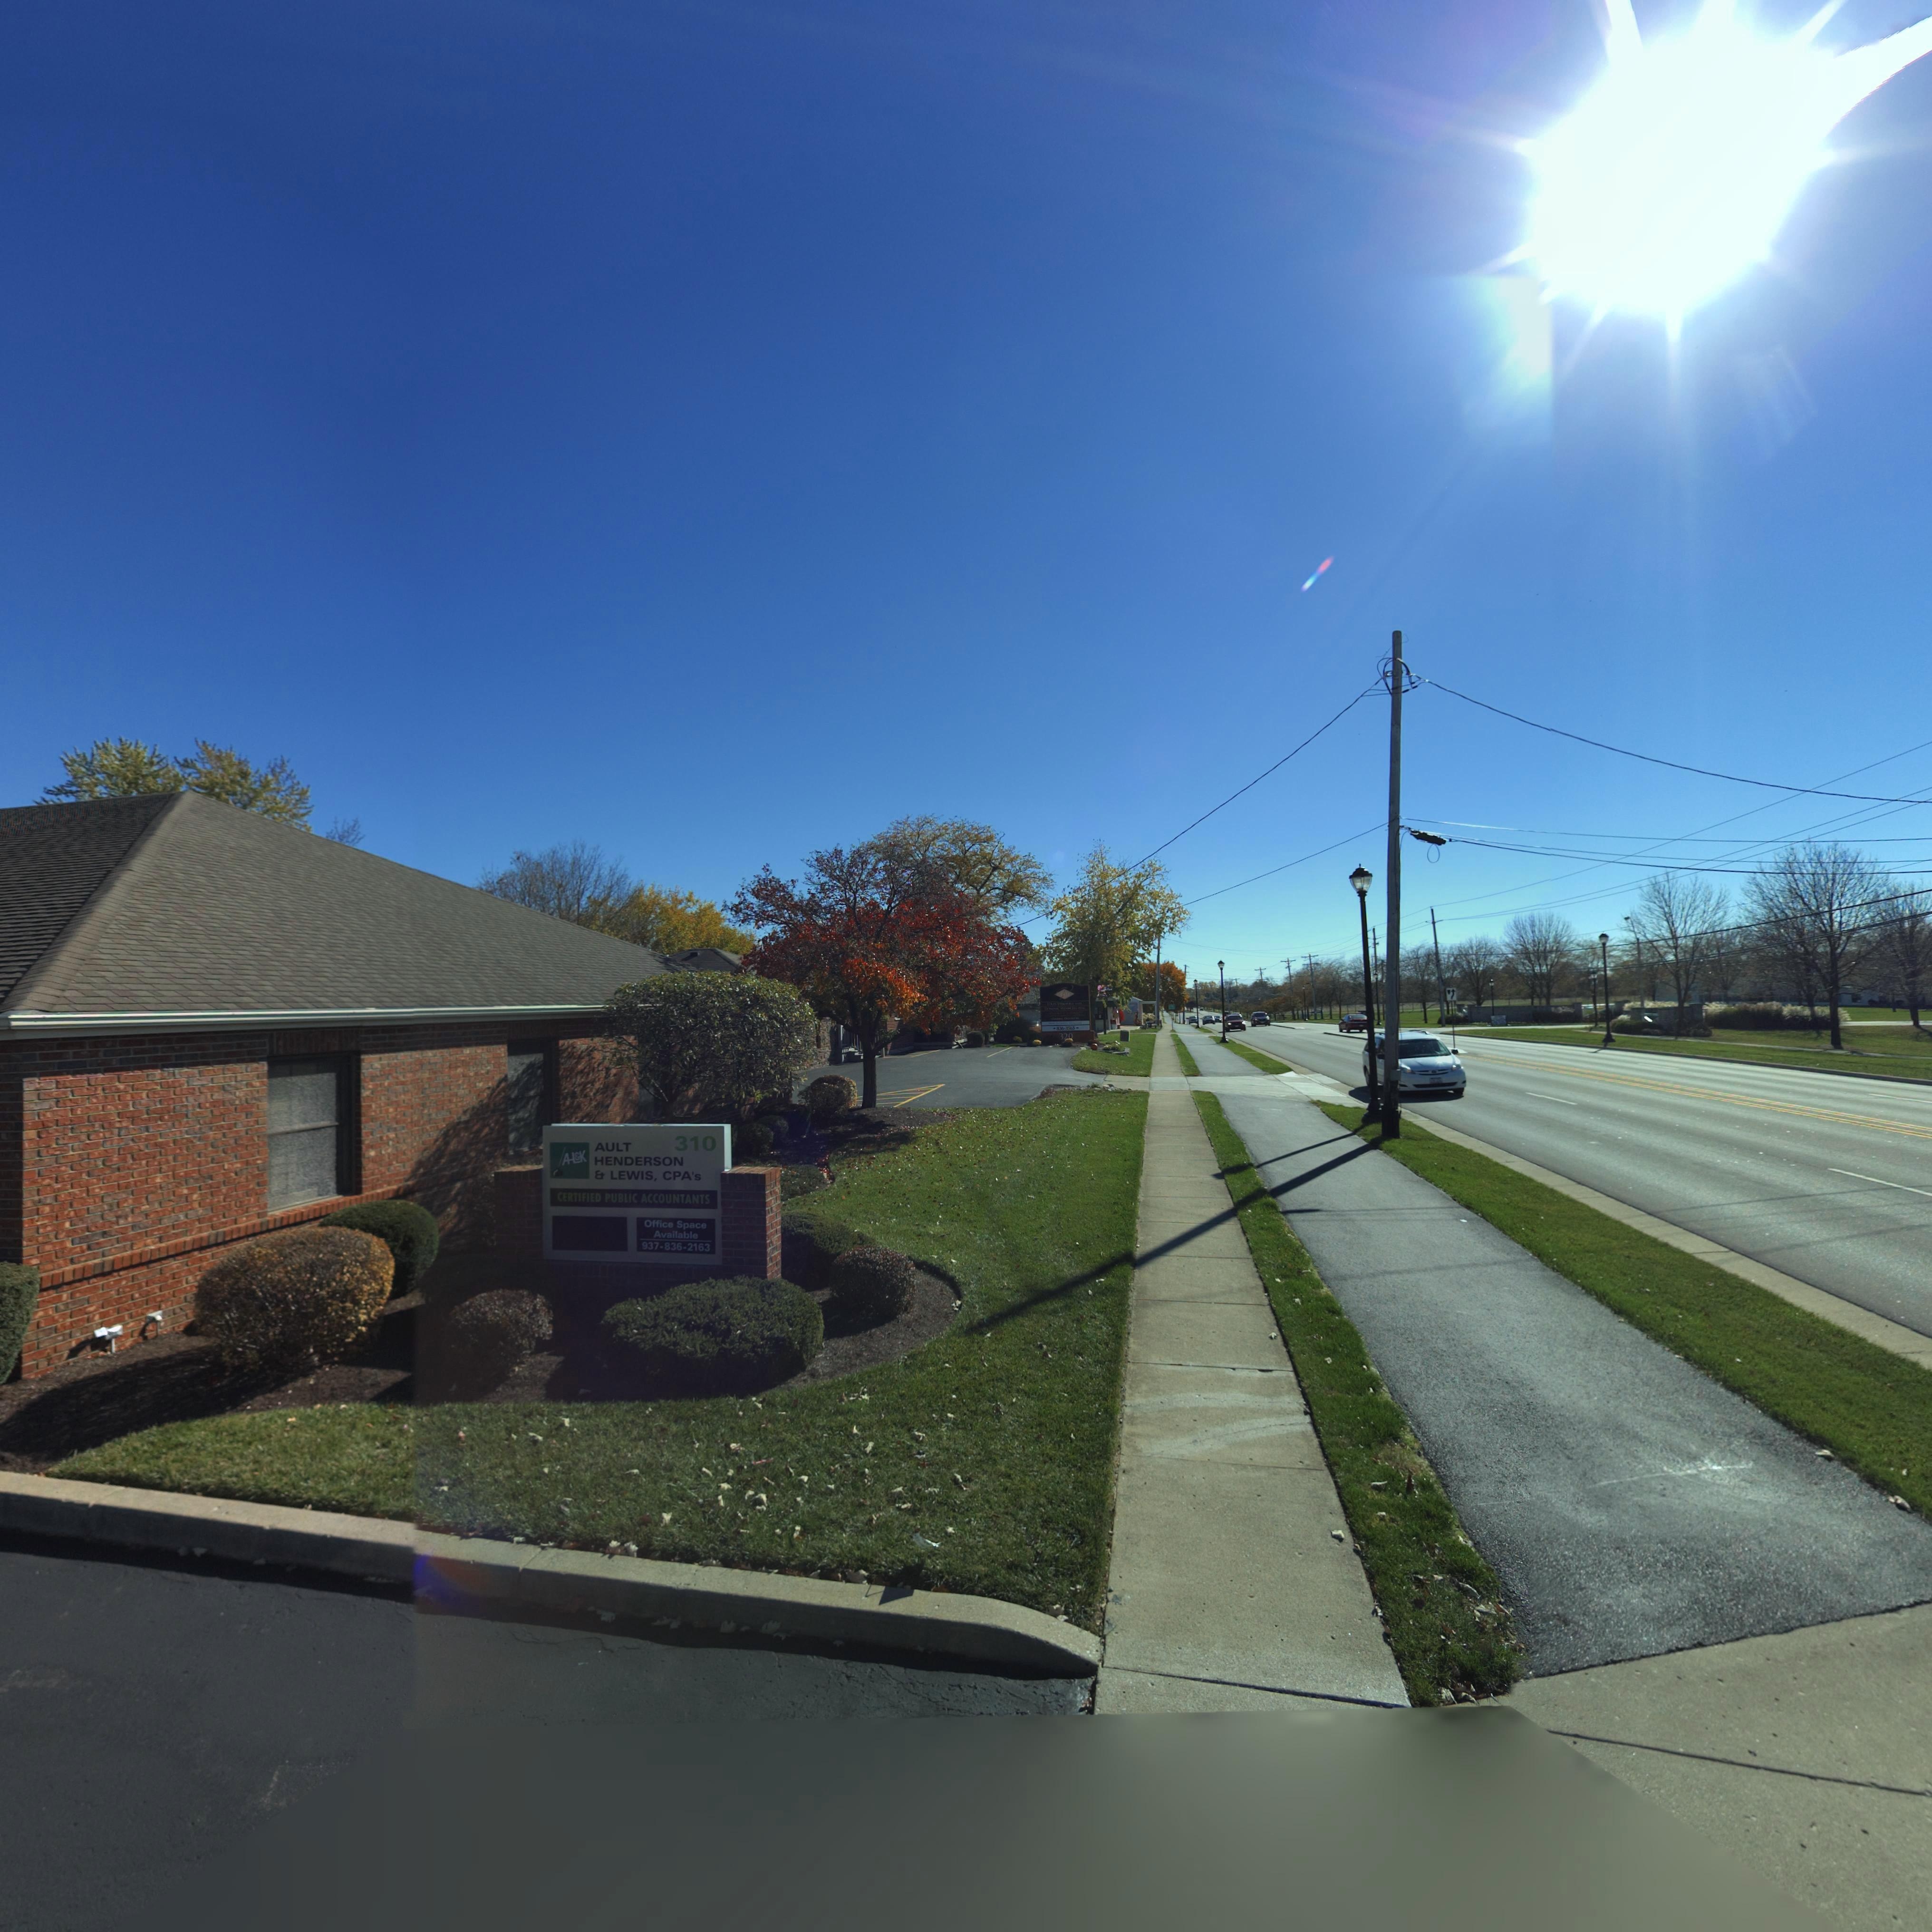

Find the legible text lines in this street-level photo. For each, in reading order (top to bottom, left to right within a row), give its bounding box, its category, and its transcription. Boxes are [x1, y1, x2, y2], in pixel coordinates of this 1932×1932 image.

[1056, 1025, 1076, 1031] None: 8*6-3***
[1059, 1032, 1073, 1041] StreetNumber: 32*
[594, 1141, 633, 1152] BusinessName: AULT
[673, 1134, 719, 1152] StreetNumber: 310
[560, 1149, 588, 1166] None: A-L&K
[594, 1155, 684, 1167] BusinessName: HENDERSON
[594, 1169, 702, 1182] BusinessName: & LEWIS, CPA's
[556, 1191, 711, 1205] None: CERTIFIED PUBLIC ACCOUNTANTS
[643, 1219, 708, 1230] None: Office Space
[652, 1229, 699, 1240] None: Available
[641, 1241, 711, 1253] None: 937-836-2163